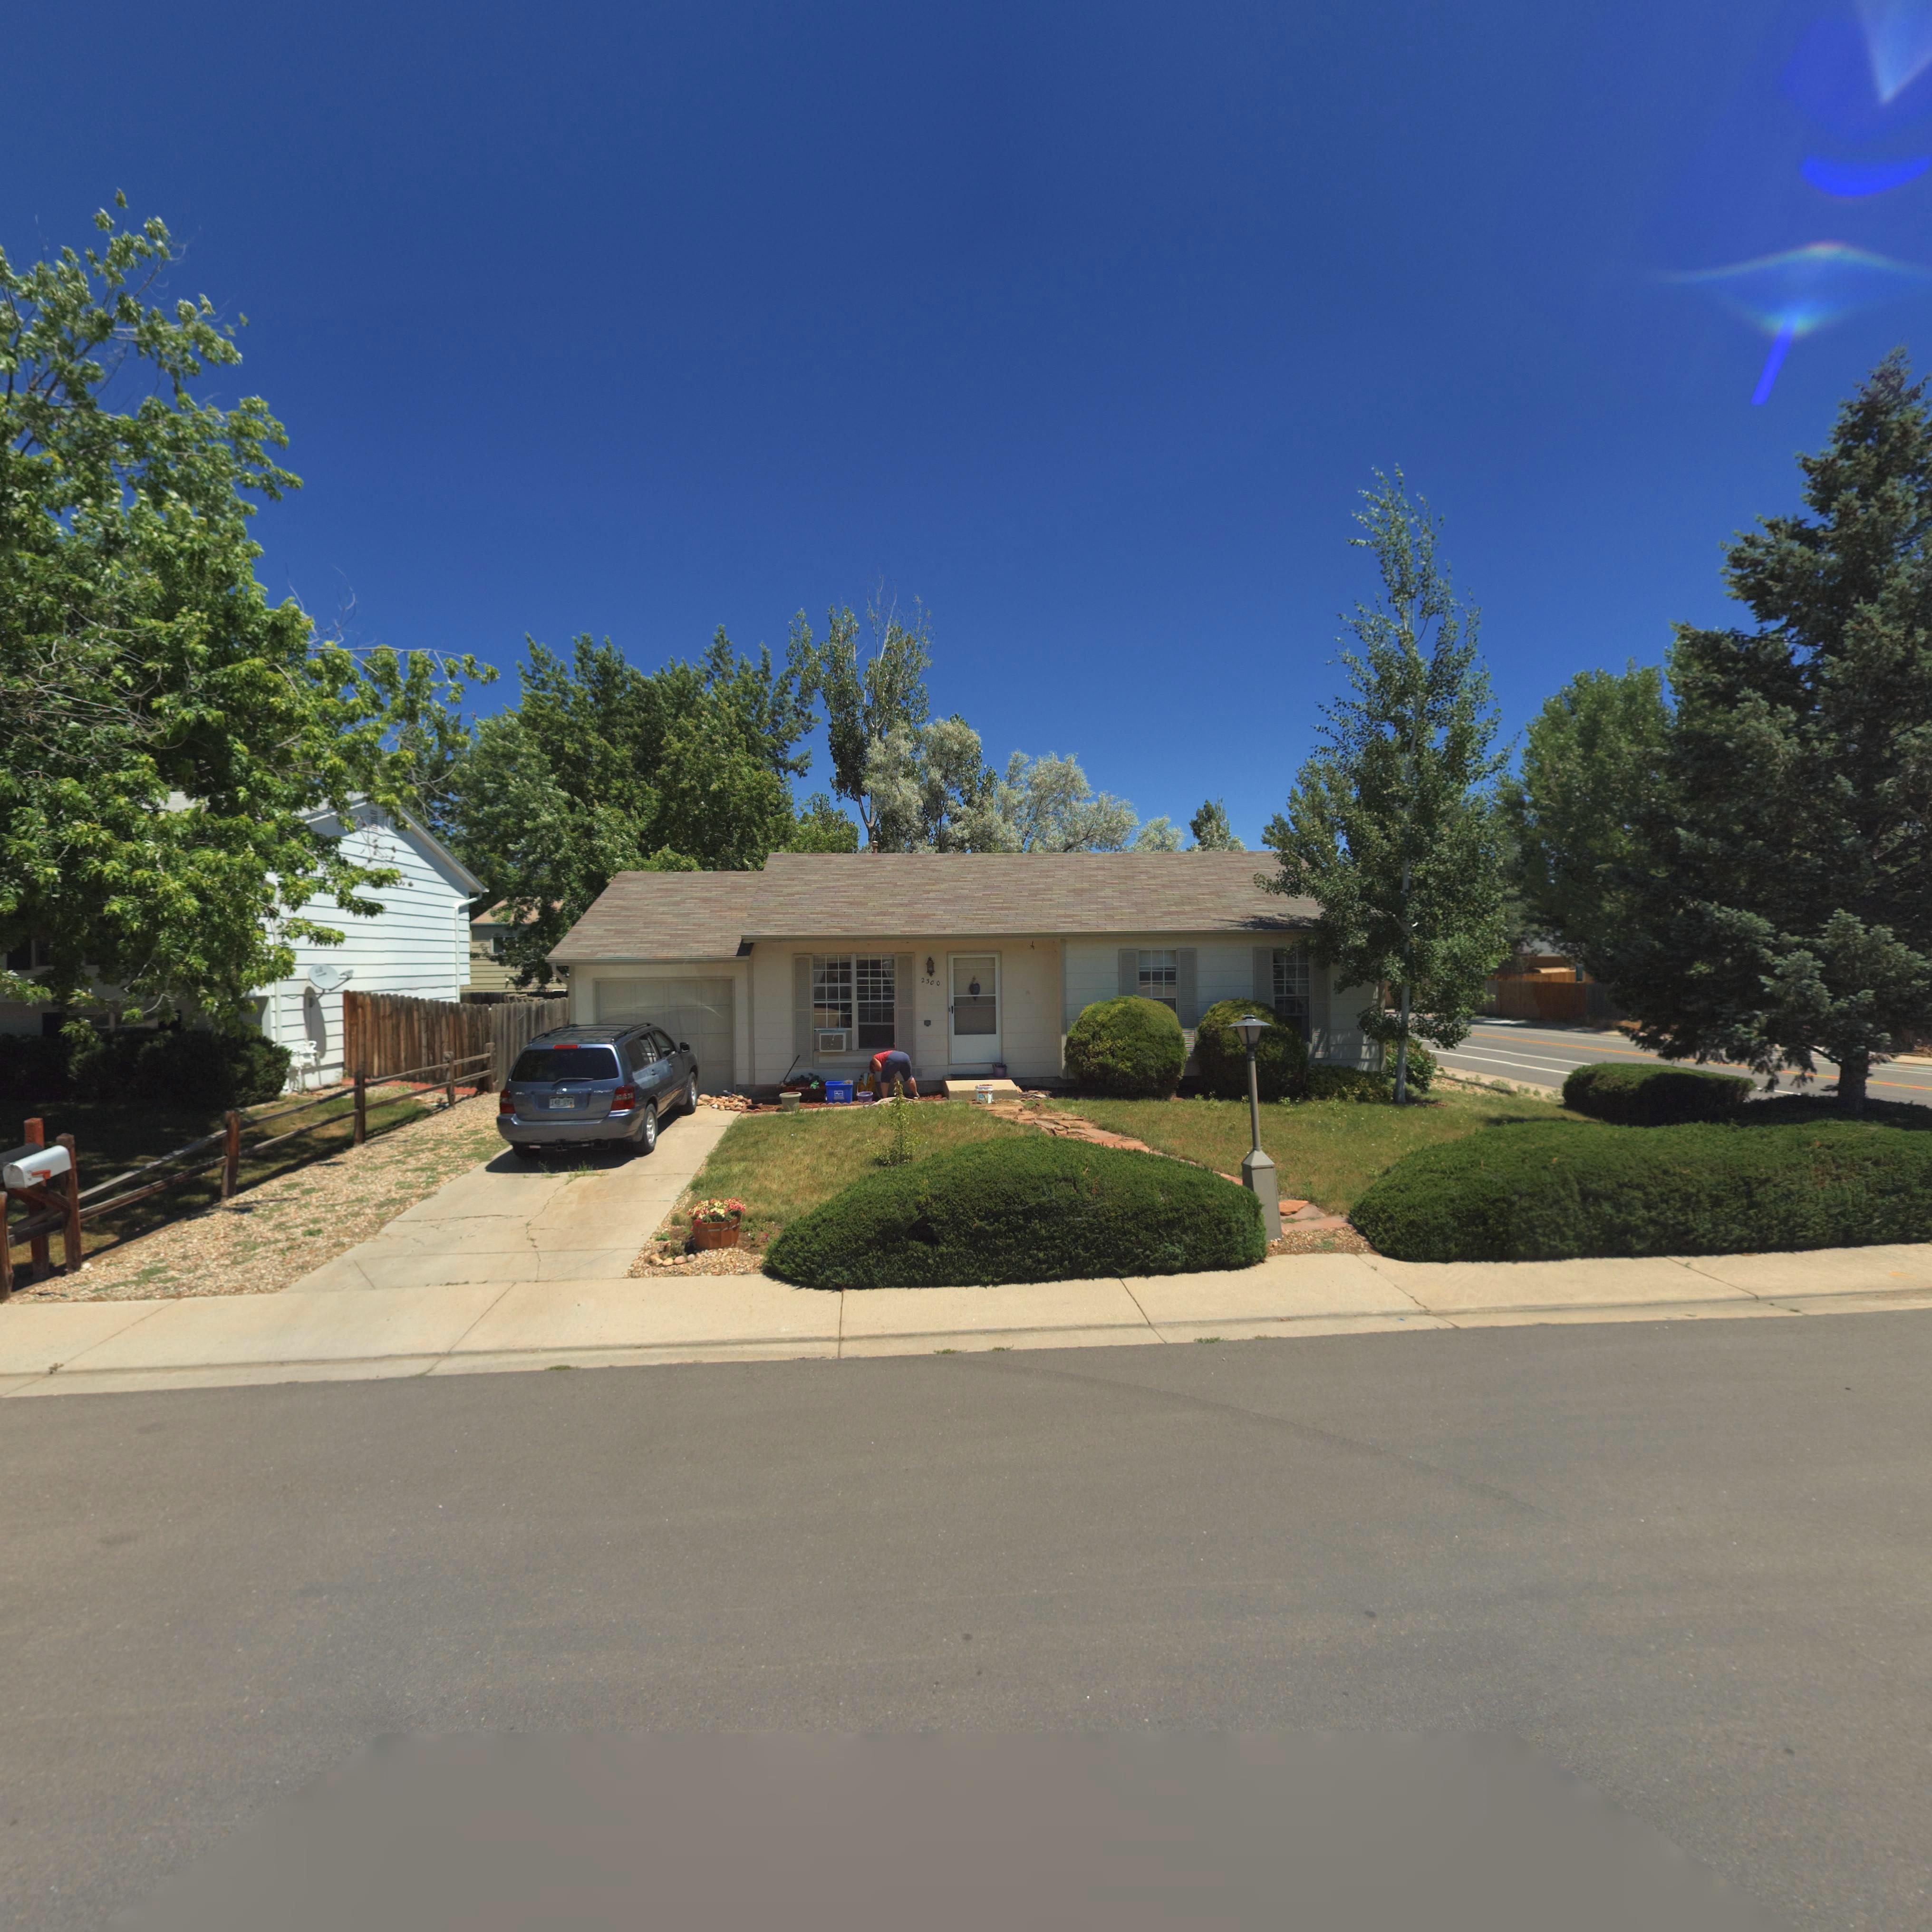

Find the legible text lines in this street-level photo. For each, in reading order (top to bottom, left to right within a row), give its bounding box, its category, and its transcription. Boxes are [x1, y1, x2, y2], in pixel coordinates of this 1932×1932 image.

[921, 977, 940, 986] StreetNumber: 2300